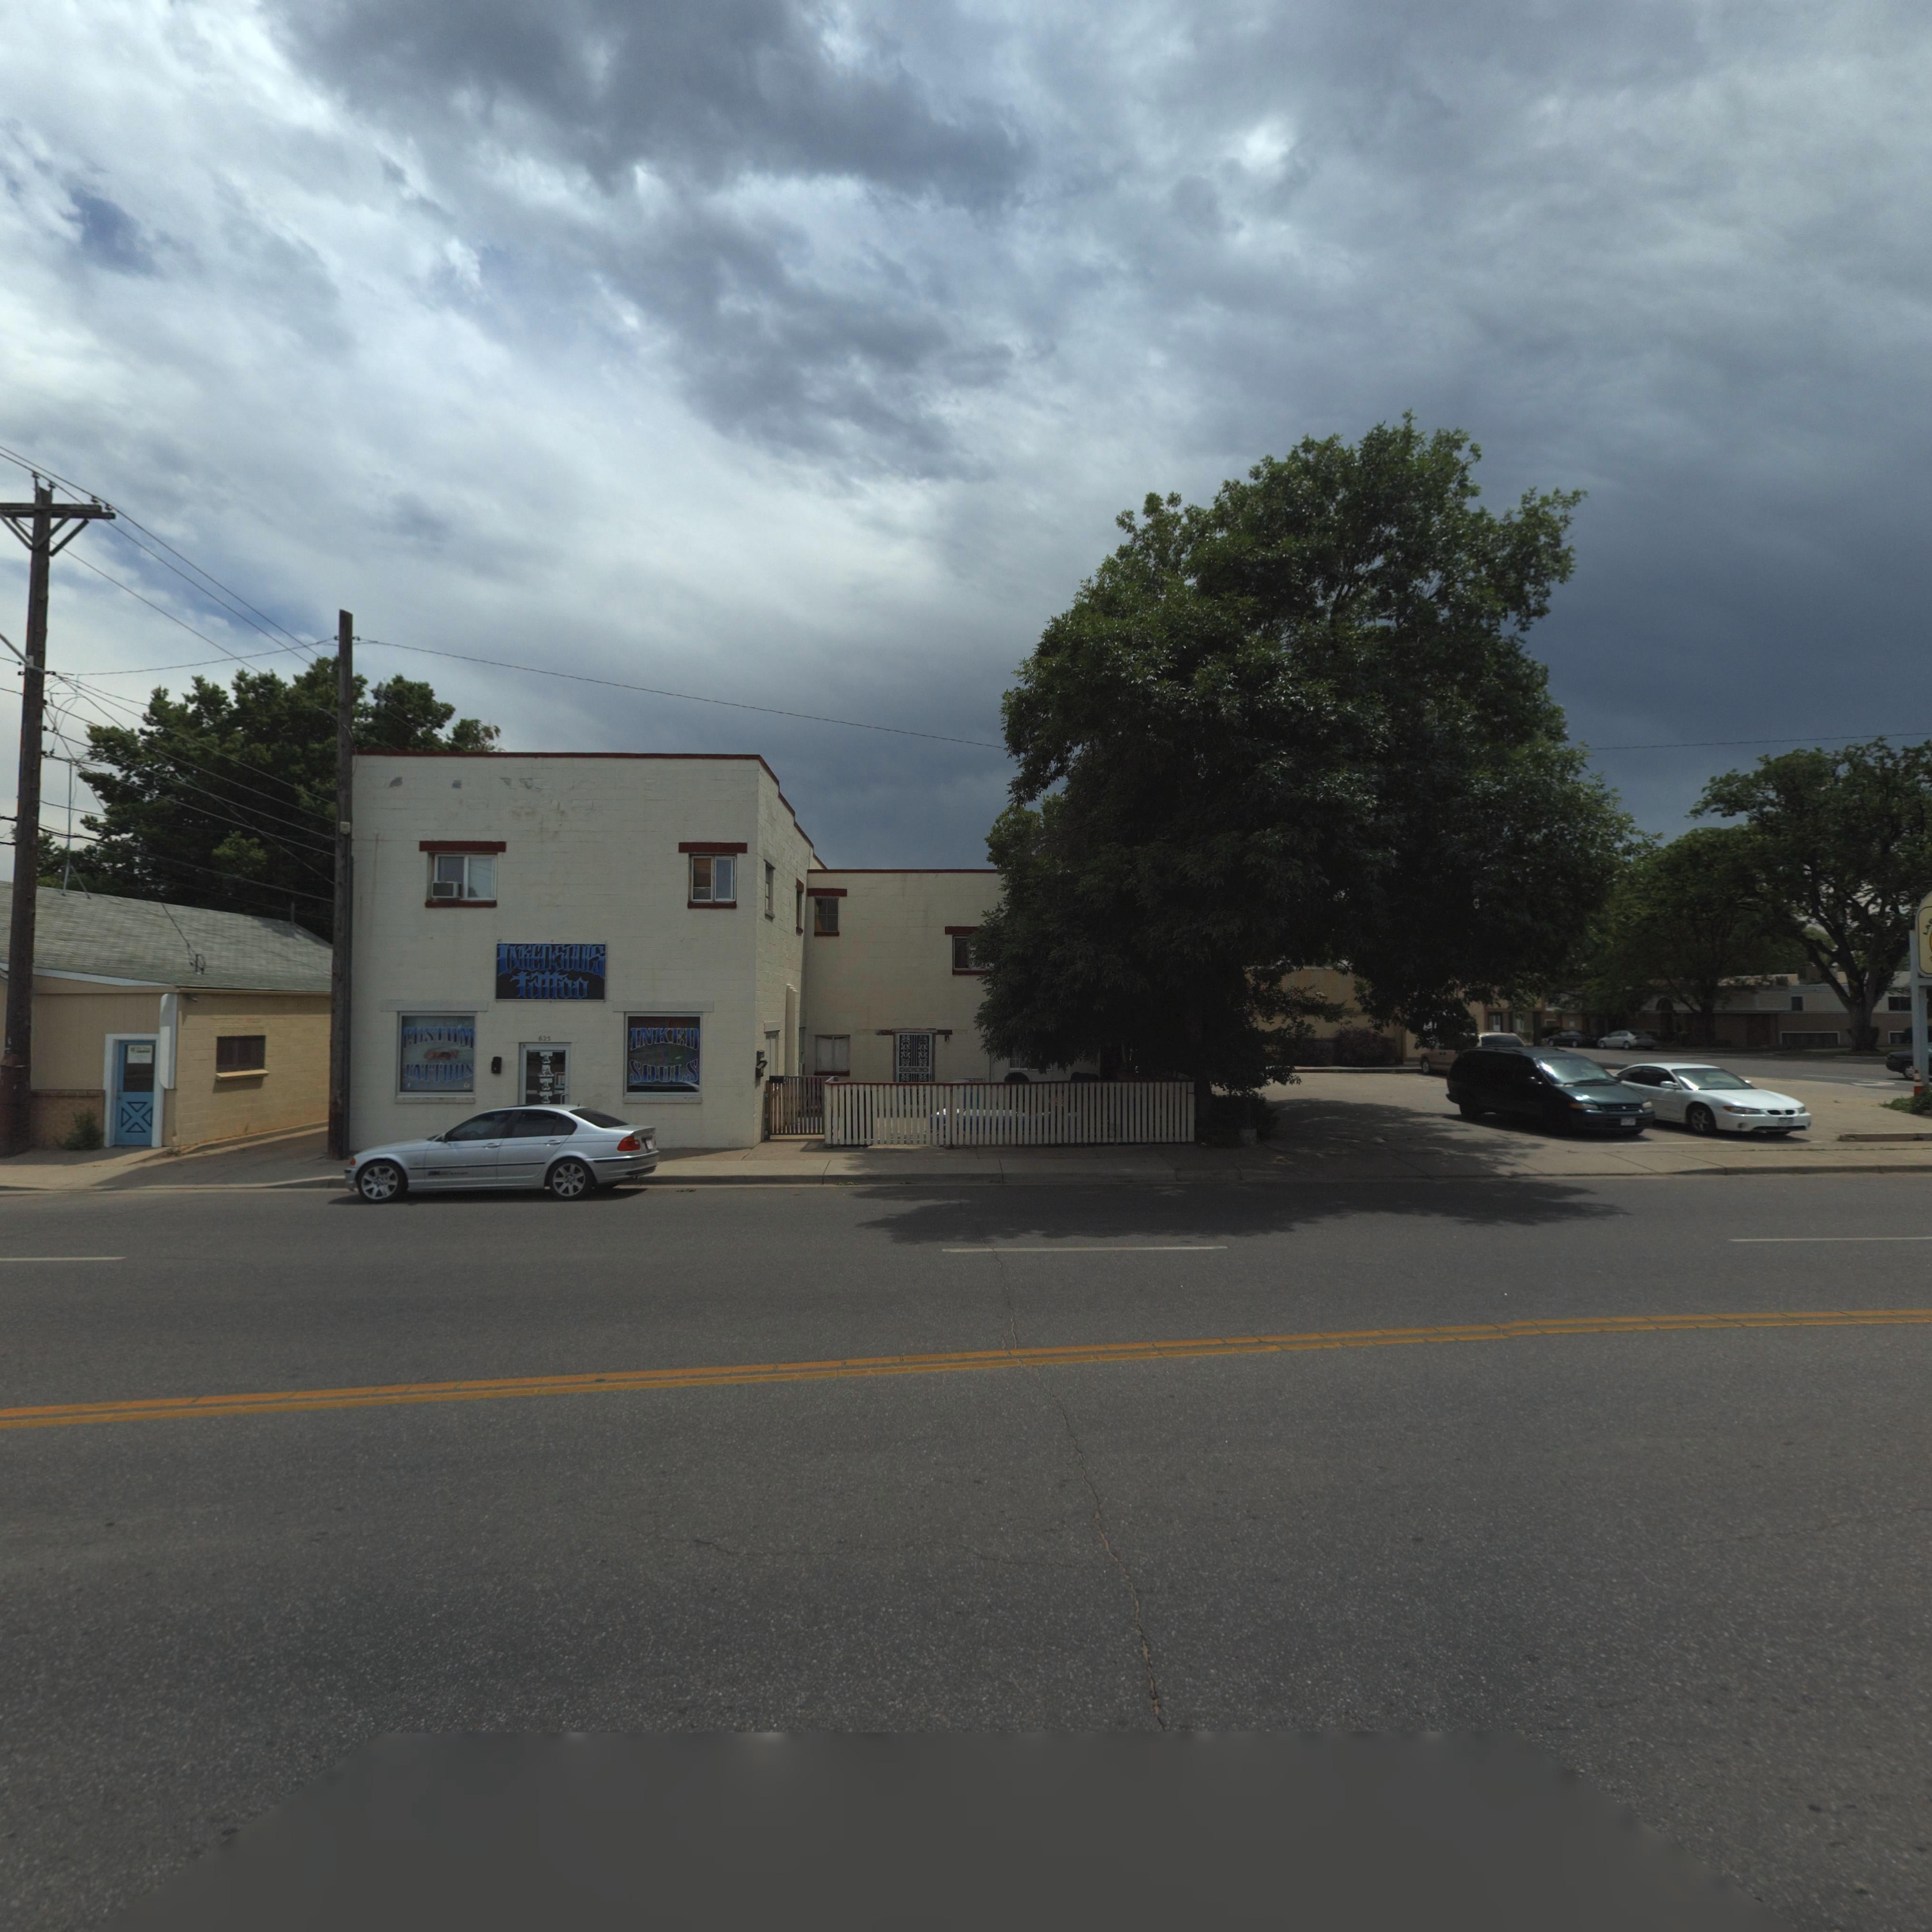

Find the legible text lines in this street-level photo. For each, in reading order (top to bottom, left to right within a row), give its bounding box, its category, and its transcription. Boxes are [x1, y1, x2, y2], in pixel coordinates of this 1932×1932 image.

[497, 944, 604, 978] BusinessName: INKEDSOULS
[509, 970, 590, 998] BusinessName: Tattoo
[538, 1035, 551, 1041] StreetNumber: 625
[631, 1027, 698, 1051] BusinessName: INKED
[629, 1058, 698, 1082] BusinessName: SOULS